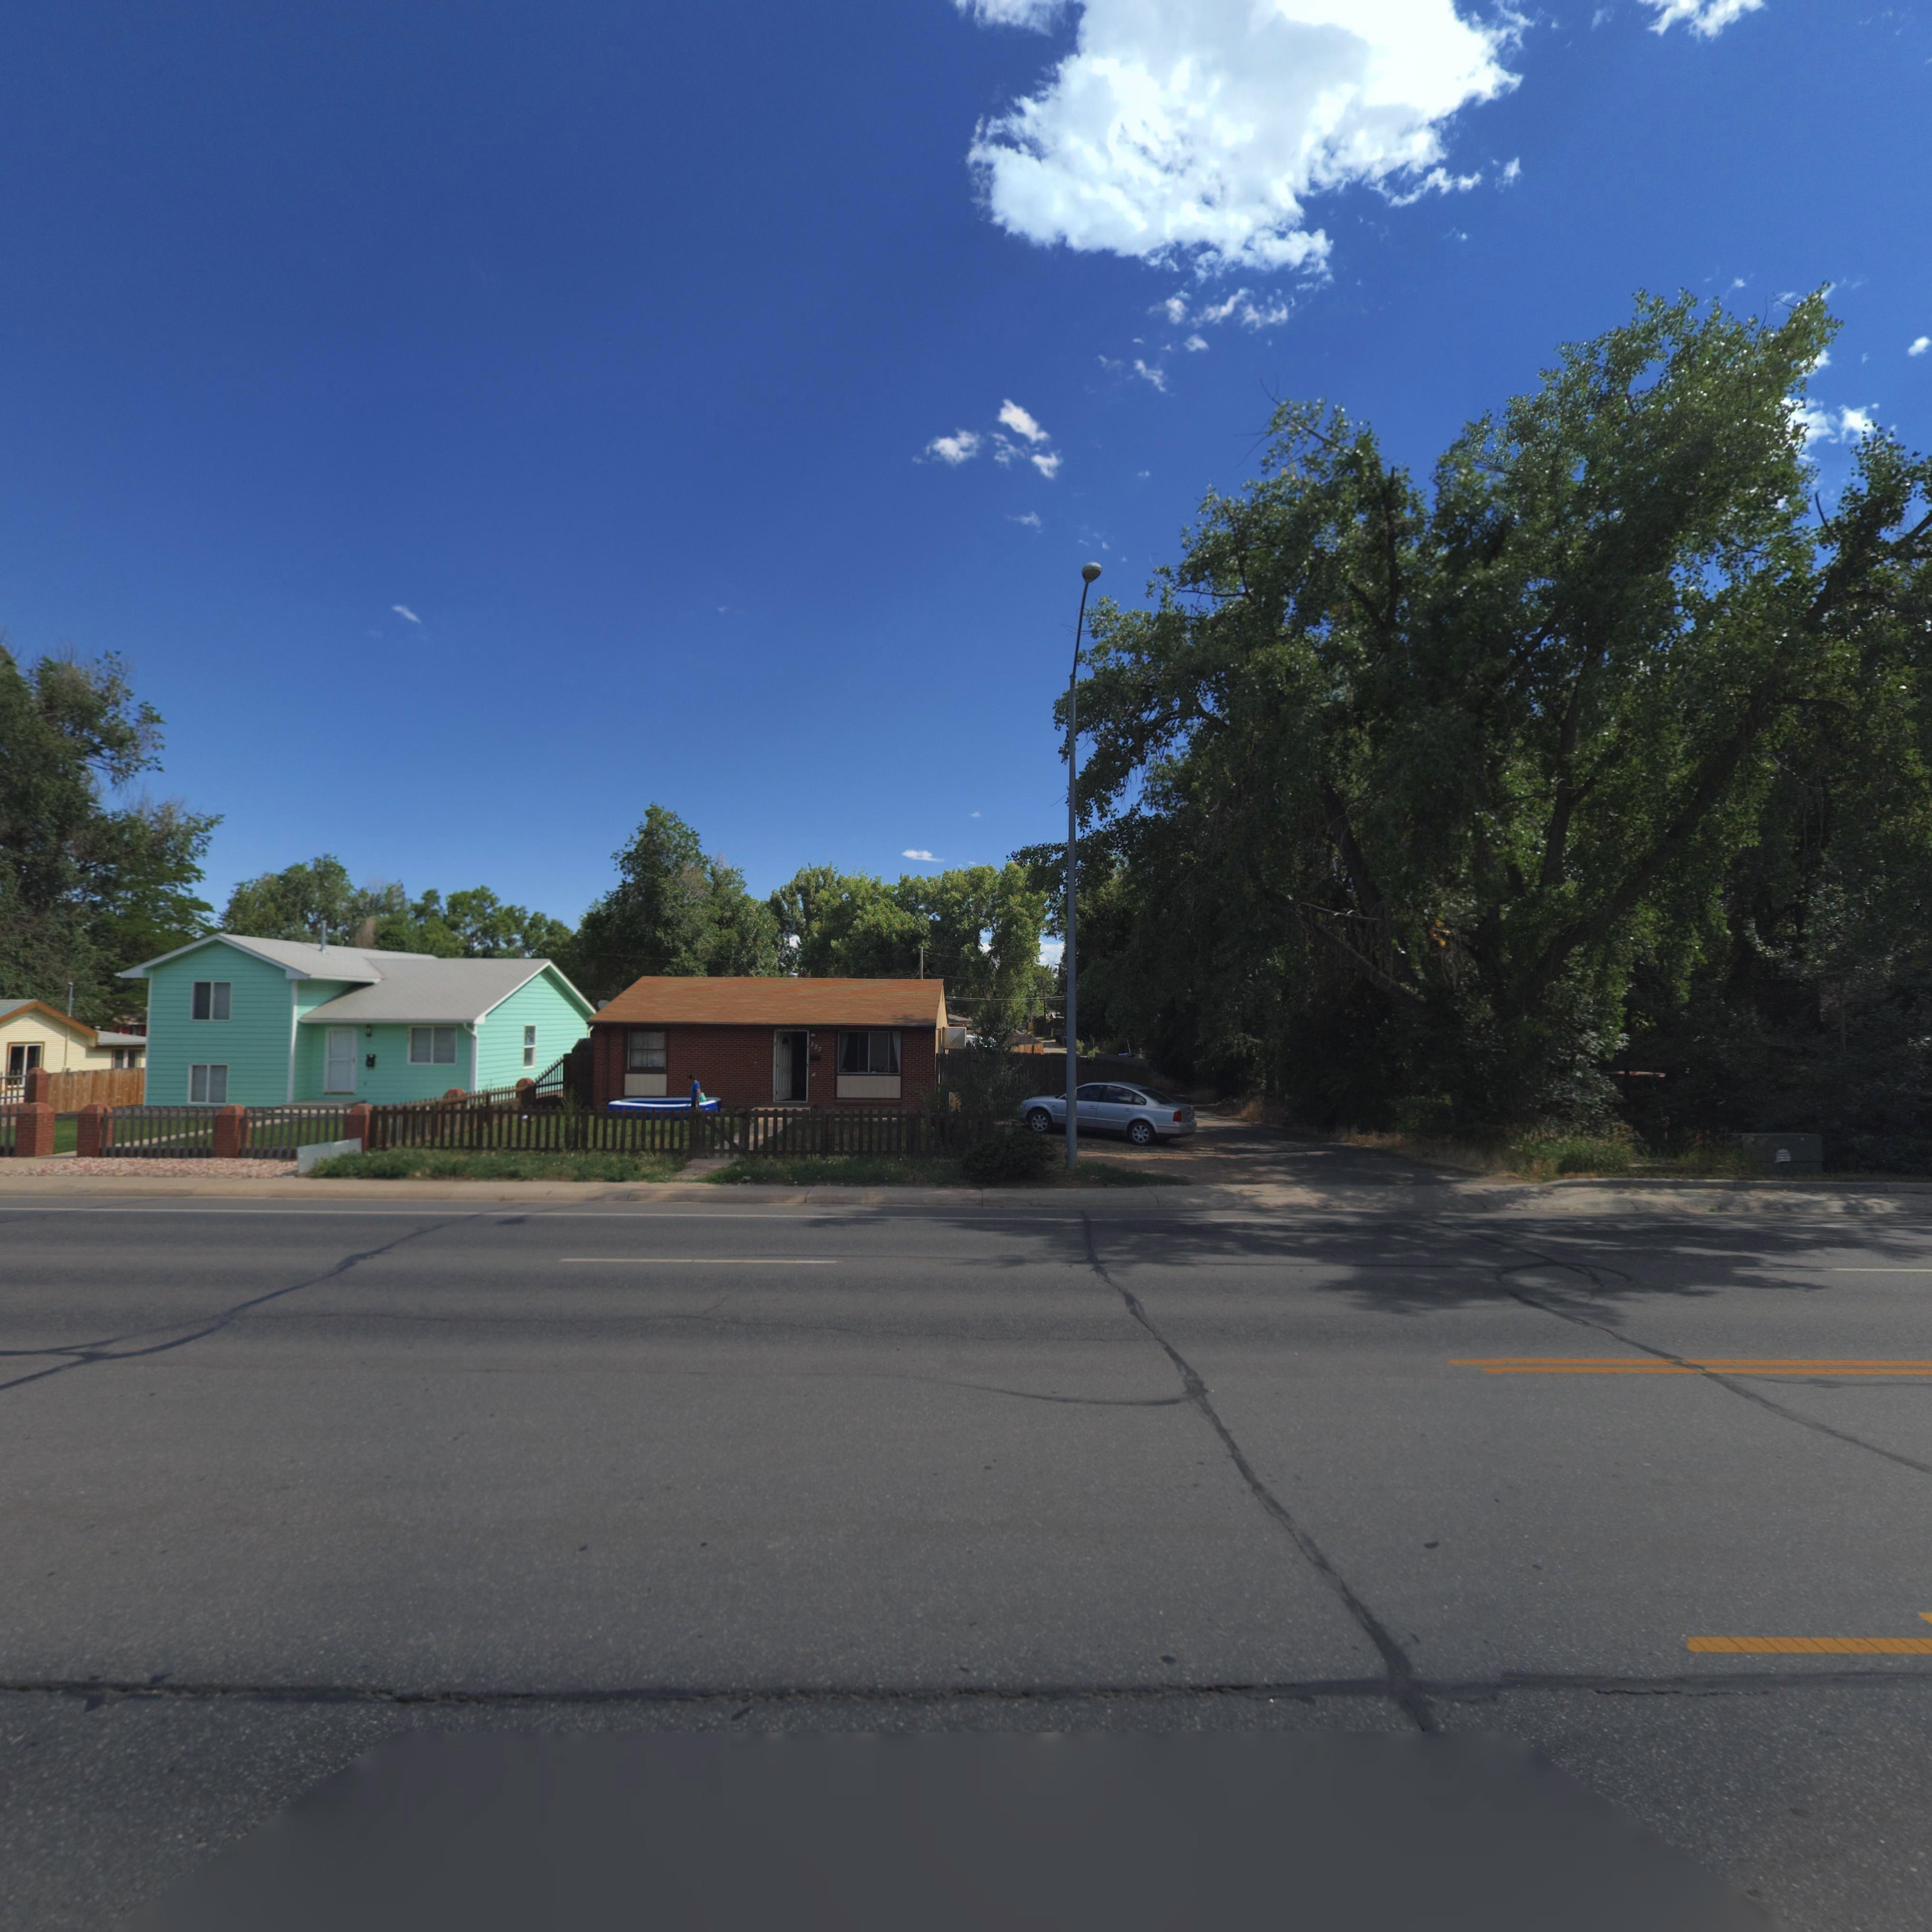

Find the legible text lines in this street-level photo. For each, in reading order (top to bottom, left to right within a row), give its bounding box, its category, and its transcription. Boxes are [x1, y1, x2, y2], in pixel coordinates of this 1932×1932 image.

[809, 1041, 822, 1053] StreetNumber: 327